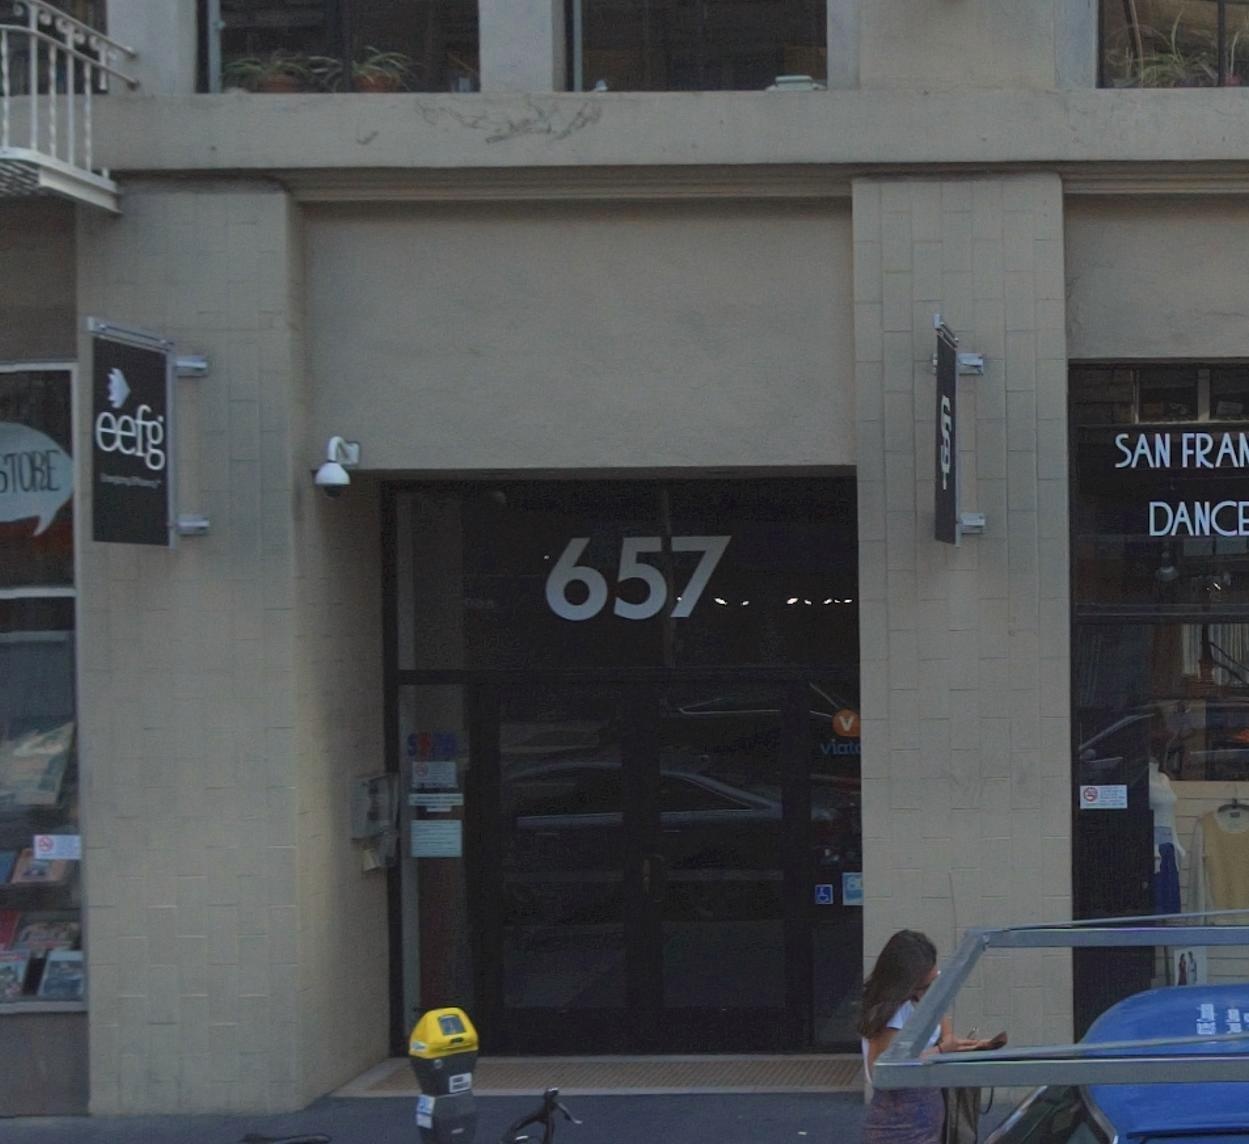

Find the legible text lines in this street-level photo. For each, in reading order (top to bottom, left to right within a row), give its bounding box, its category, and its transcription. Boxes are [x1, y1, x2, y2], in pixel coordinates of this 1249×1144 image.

[95, 400, 168, 475] BusinessName: eefg
[1112, 431, 1239, 470] BusinessName: SAN FRA
[2, 448, 63, 495] BusinessName: TORE
[1147, 499, 1239, 538] BusinessName: DANC
[543, 531, 739, 623] StreetNumber: 657
[834, 712, 857, 733] None: V
[816, 736, 856, 757] None: viat